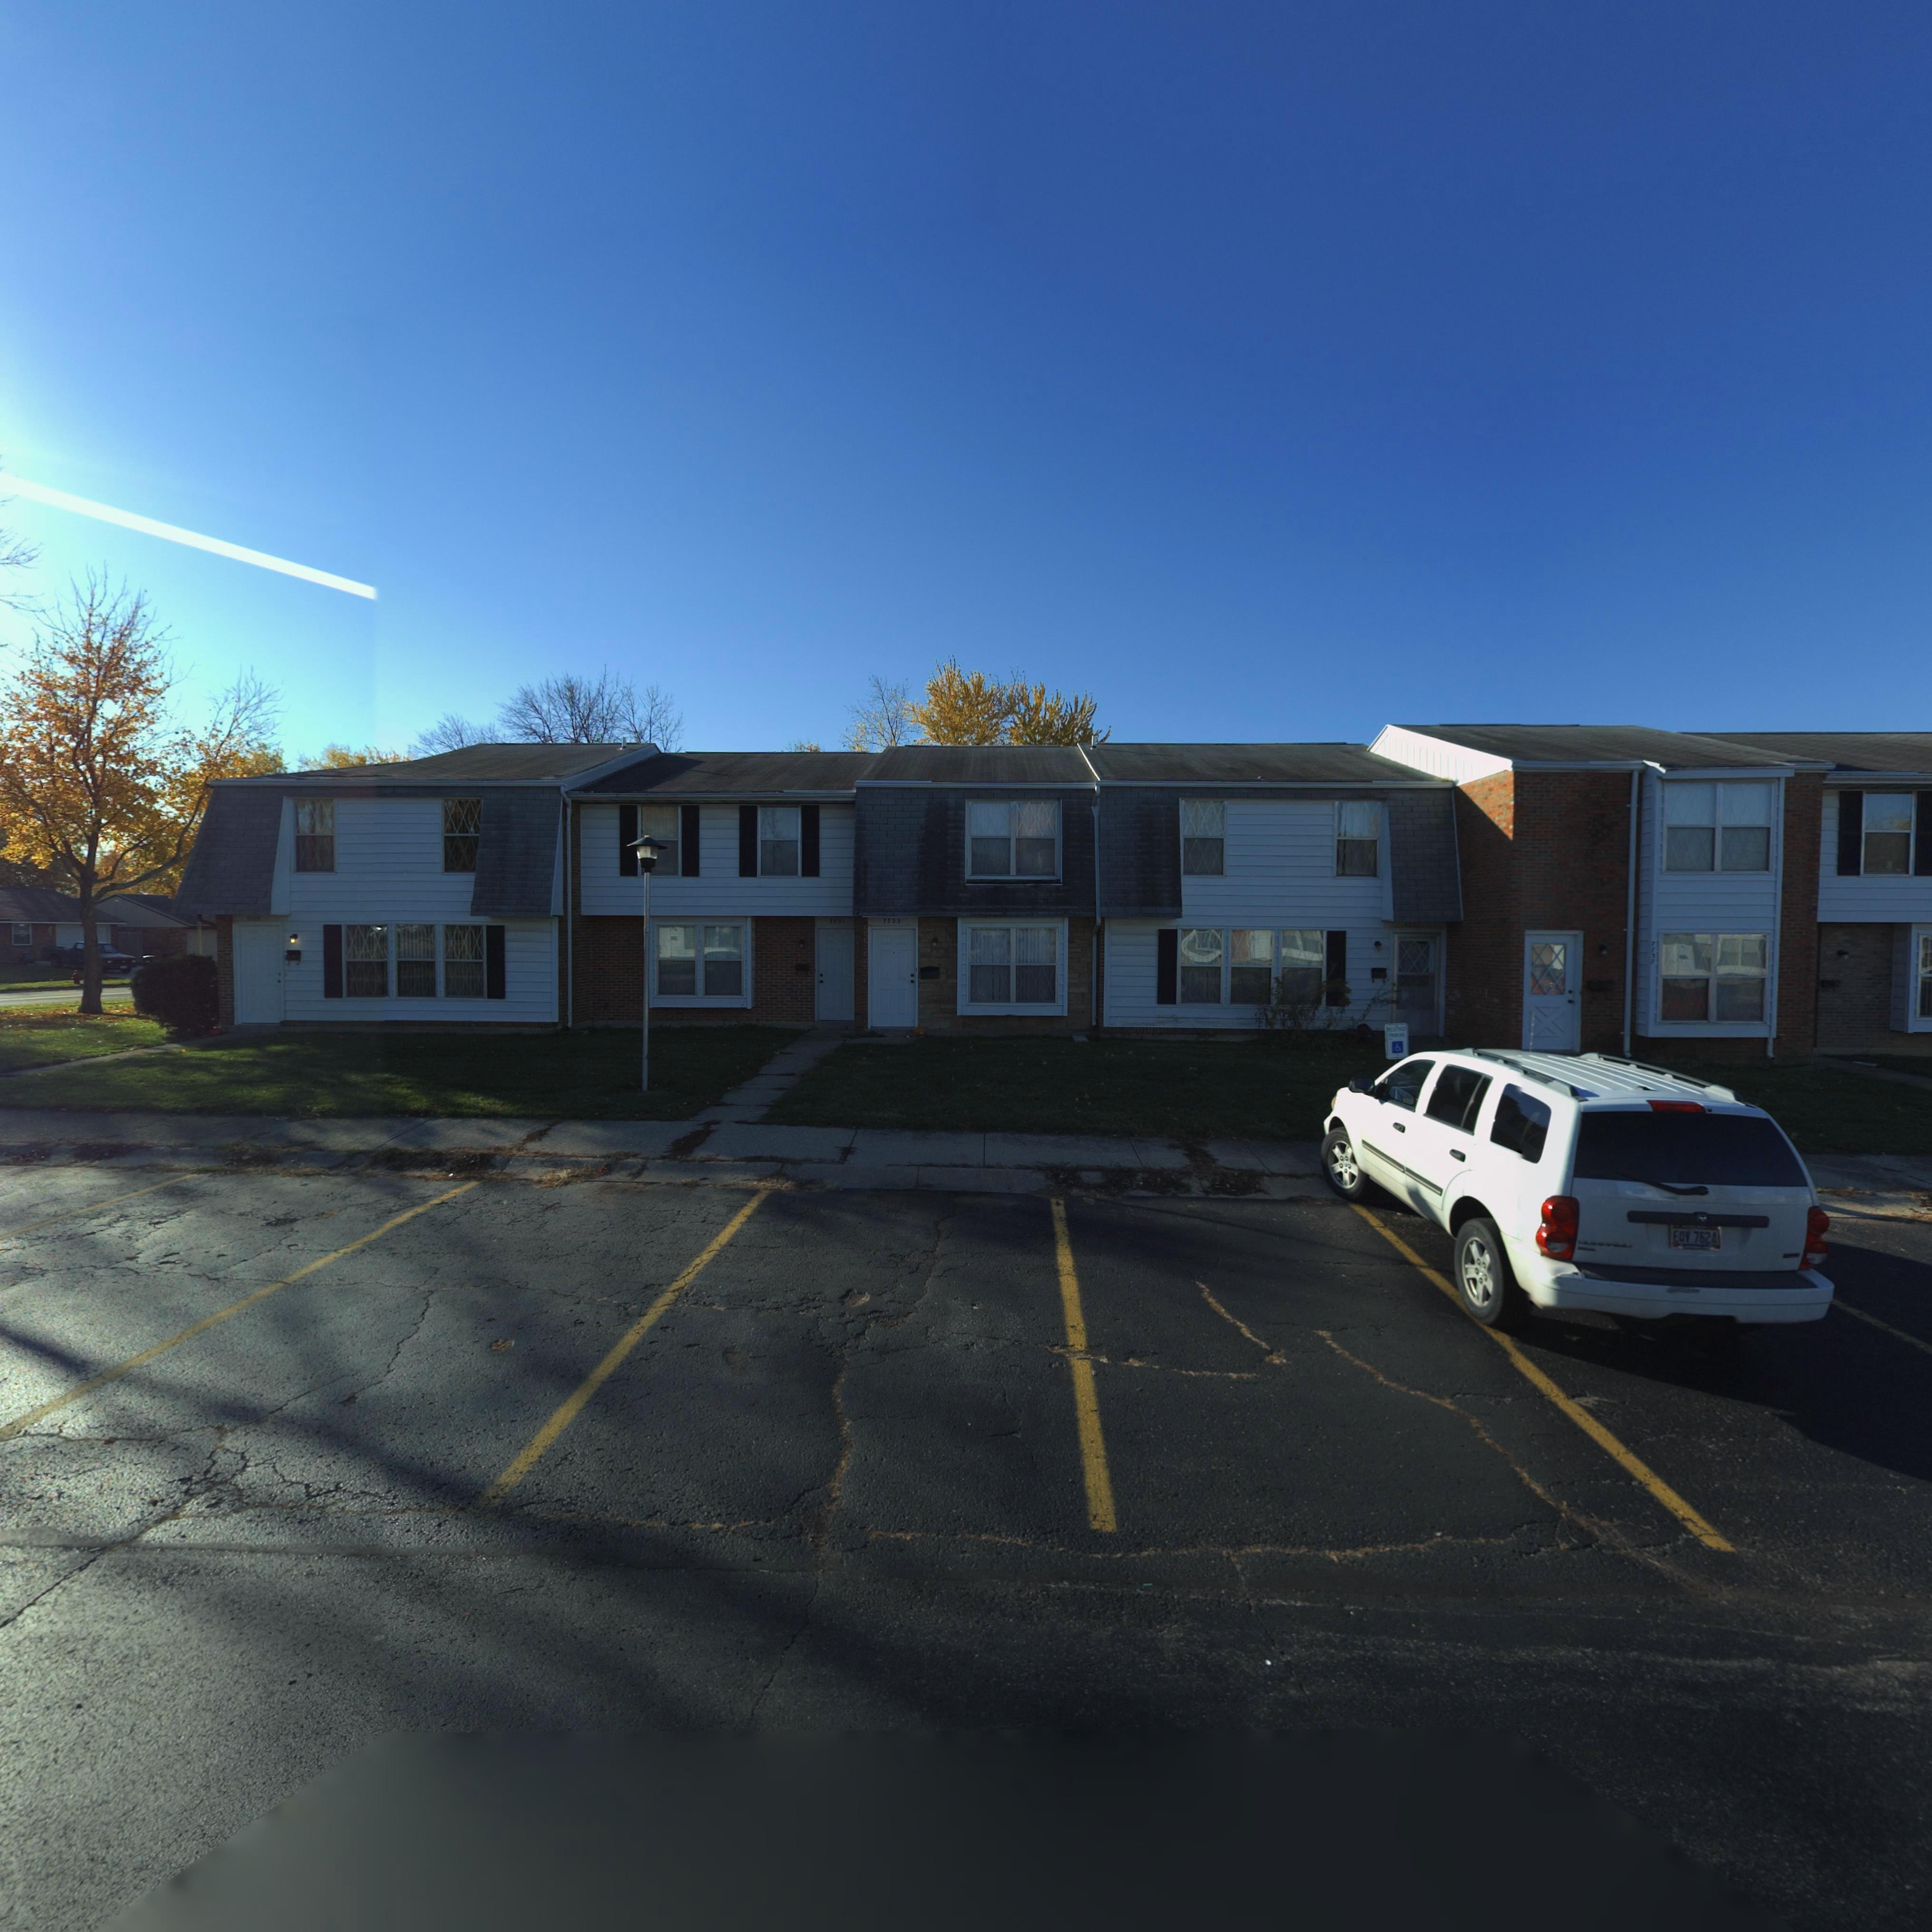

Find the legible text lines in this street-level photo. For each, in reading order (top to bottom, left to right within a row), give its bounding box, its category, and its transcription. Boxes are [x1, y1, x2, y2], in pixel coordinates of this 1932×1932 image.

[246, 915, 261, 922] StreetNumber: *729
[829, 918, 846, 924] StreetNumber: 7731
[883, 918, 901, 924] StreetNumber: 7733
[1403, 922, 1421, 928] StreetNumber: *7**
[1650, 940, 1656, 966] StreetNumber: 7737